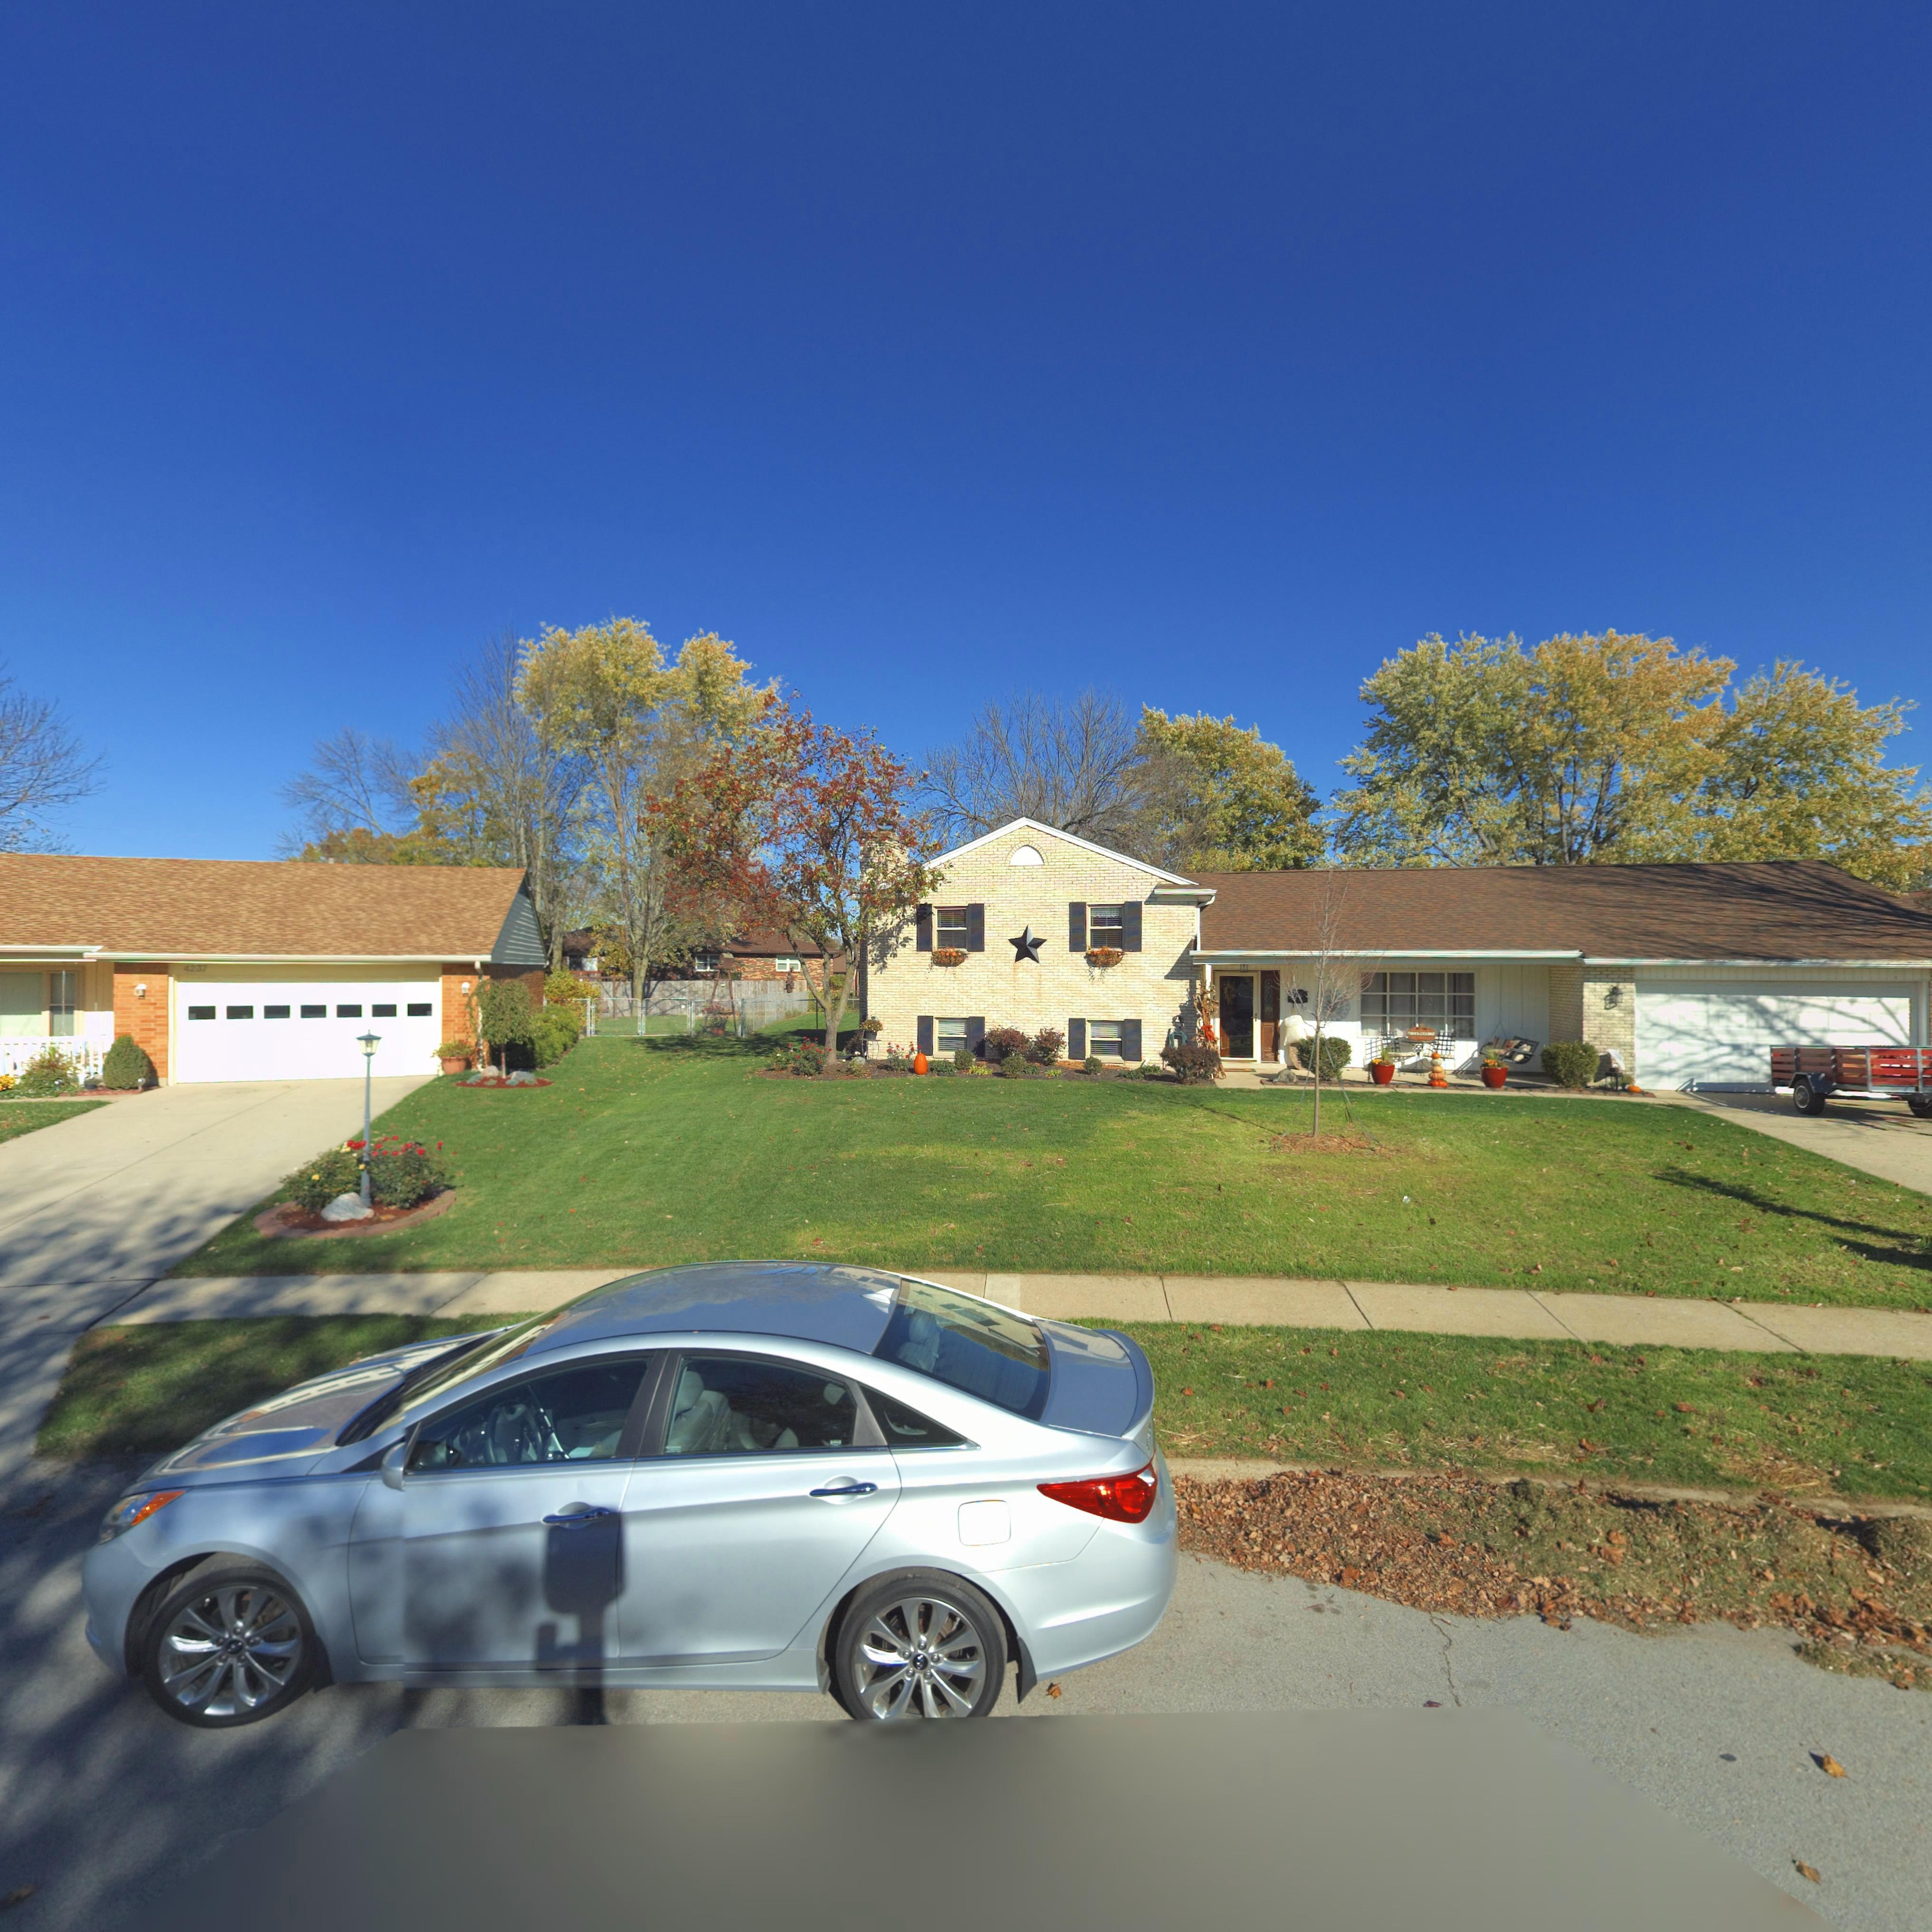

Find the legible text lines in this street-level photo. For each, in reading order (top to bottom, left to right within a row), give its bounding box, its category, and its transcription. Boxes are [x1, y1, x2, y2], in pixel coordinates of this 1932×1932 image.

[182, 964, 210, 974] StreetNumber: 4237